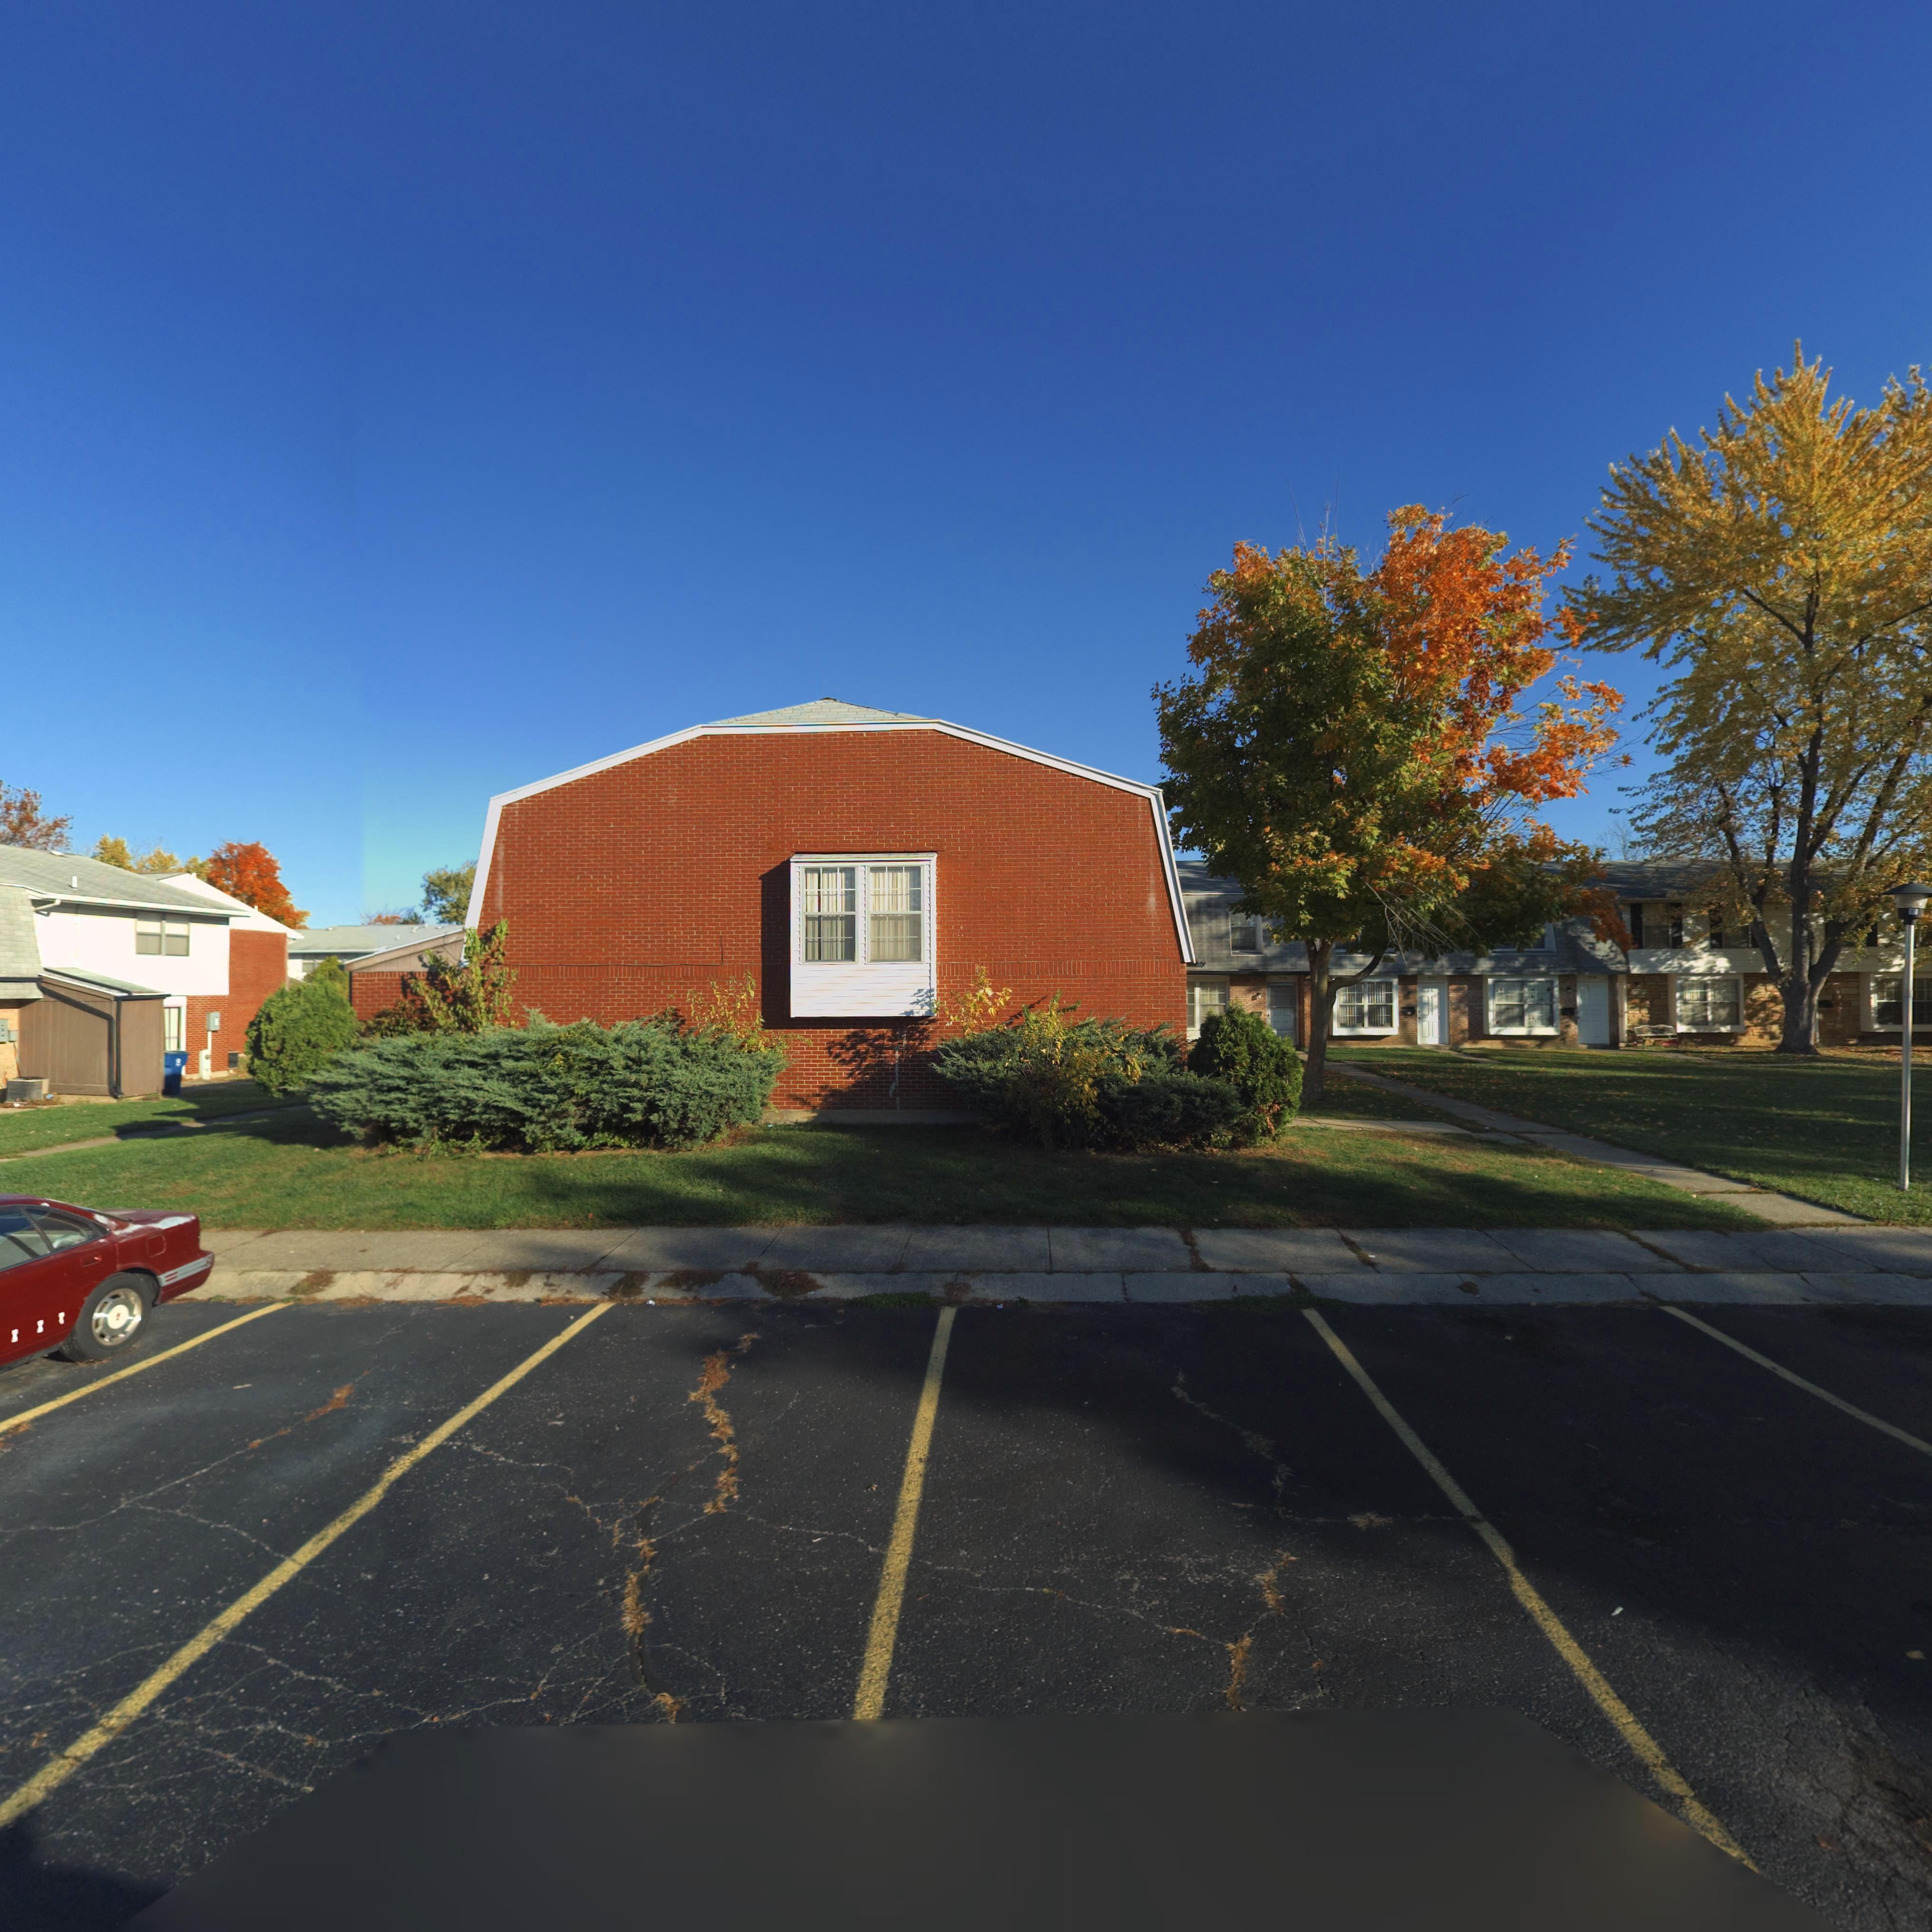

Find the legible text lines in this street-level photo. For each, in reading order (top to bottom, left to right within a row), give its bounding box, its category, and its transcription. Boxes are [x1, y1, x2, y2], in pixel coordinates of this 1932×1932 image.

[1278, 976, 1287, 980] StreetNumber: 7715
[1427, 976, 1437, 980] StreetNumber: 771*